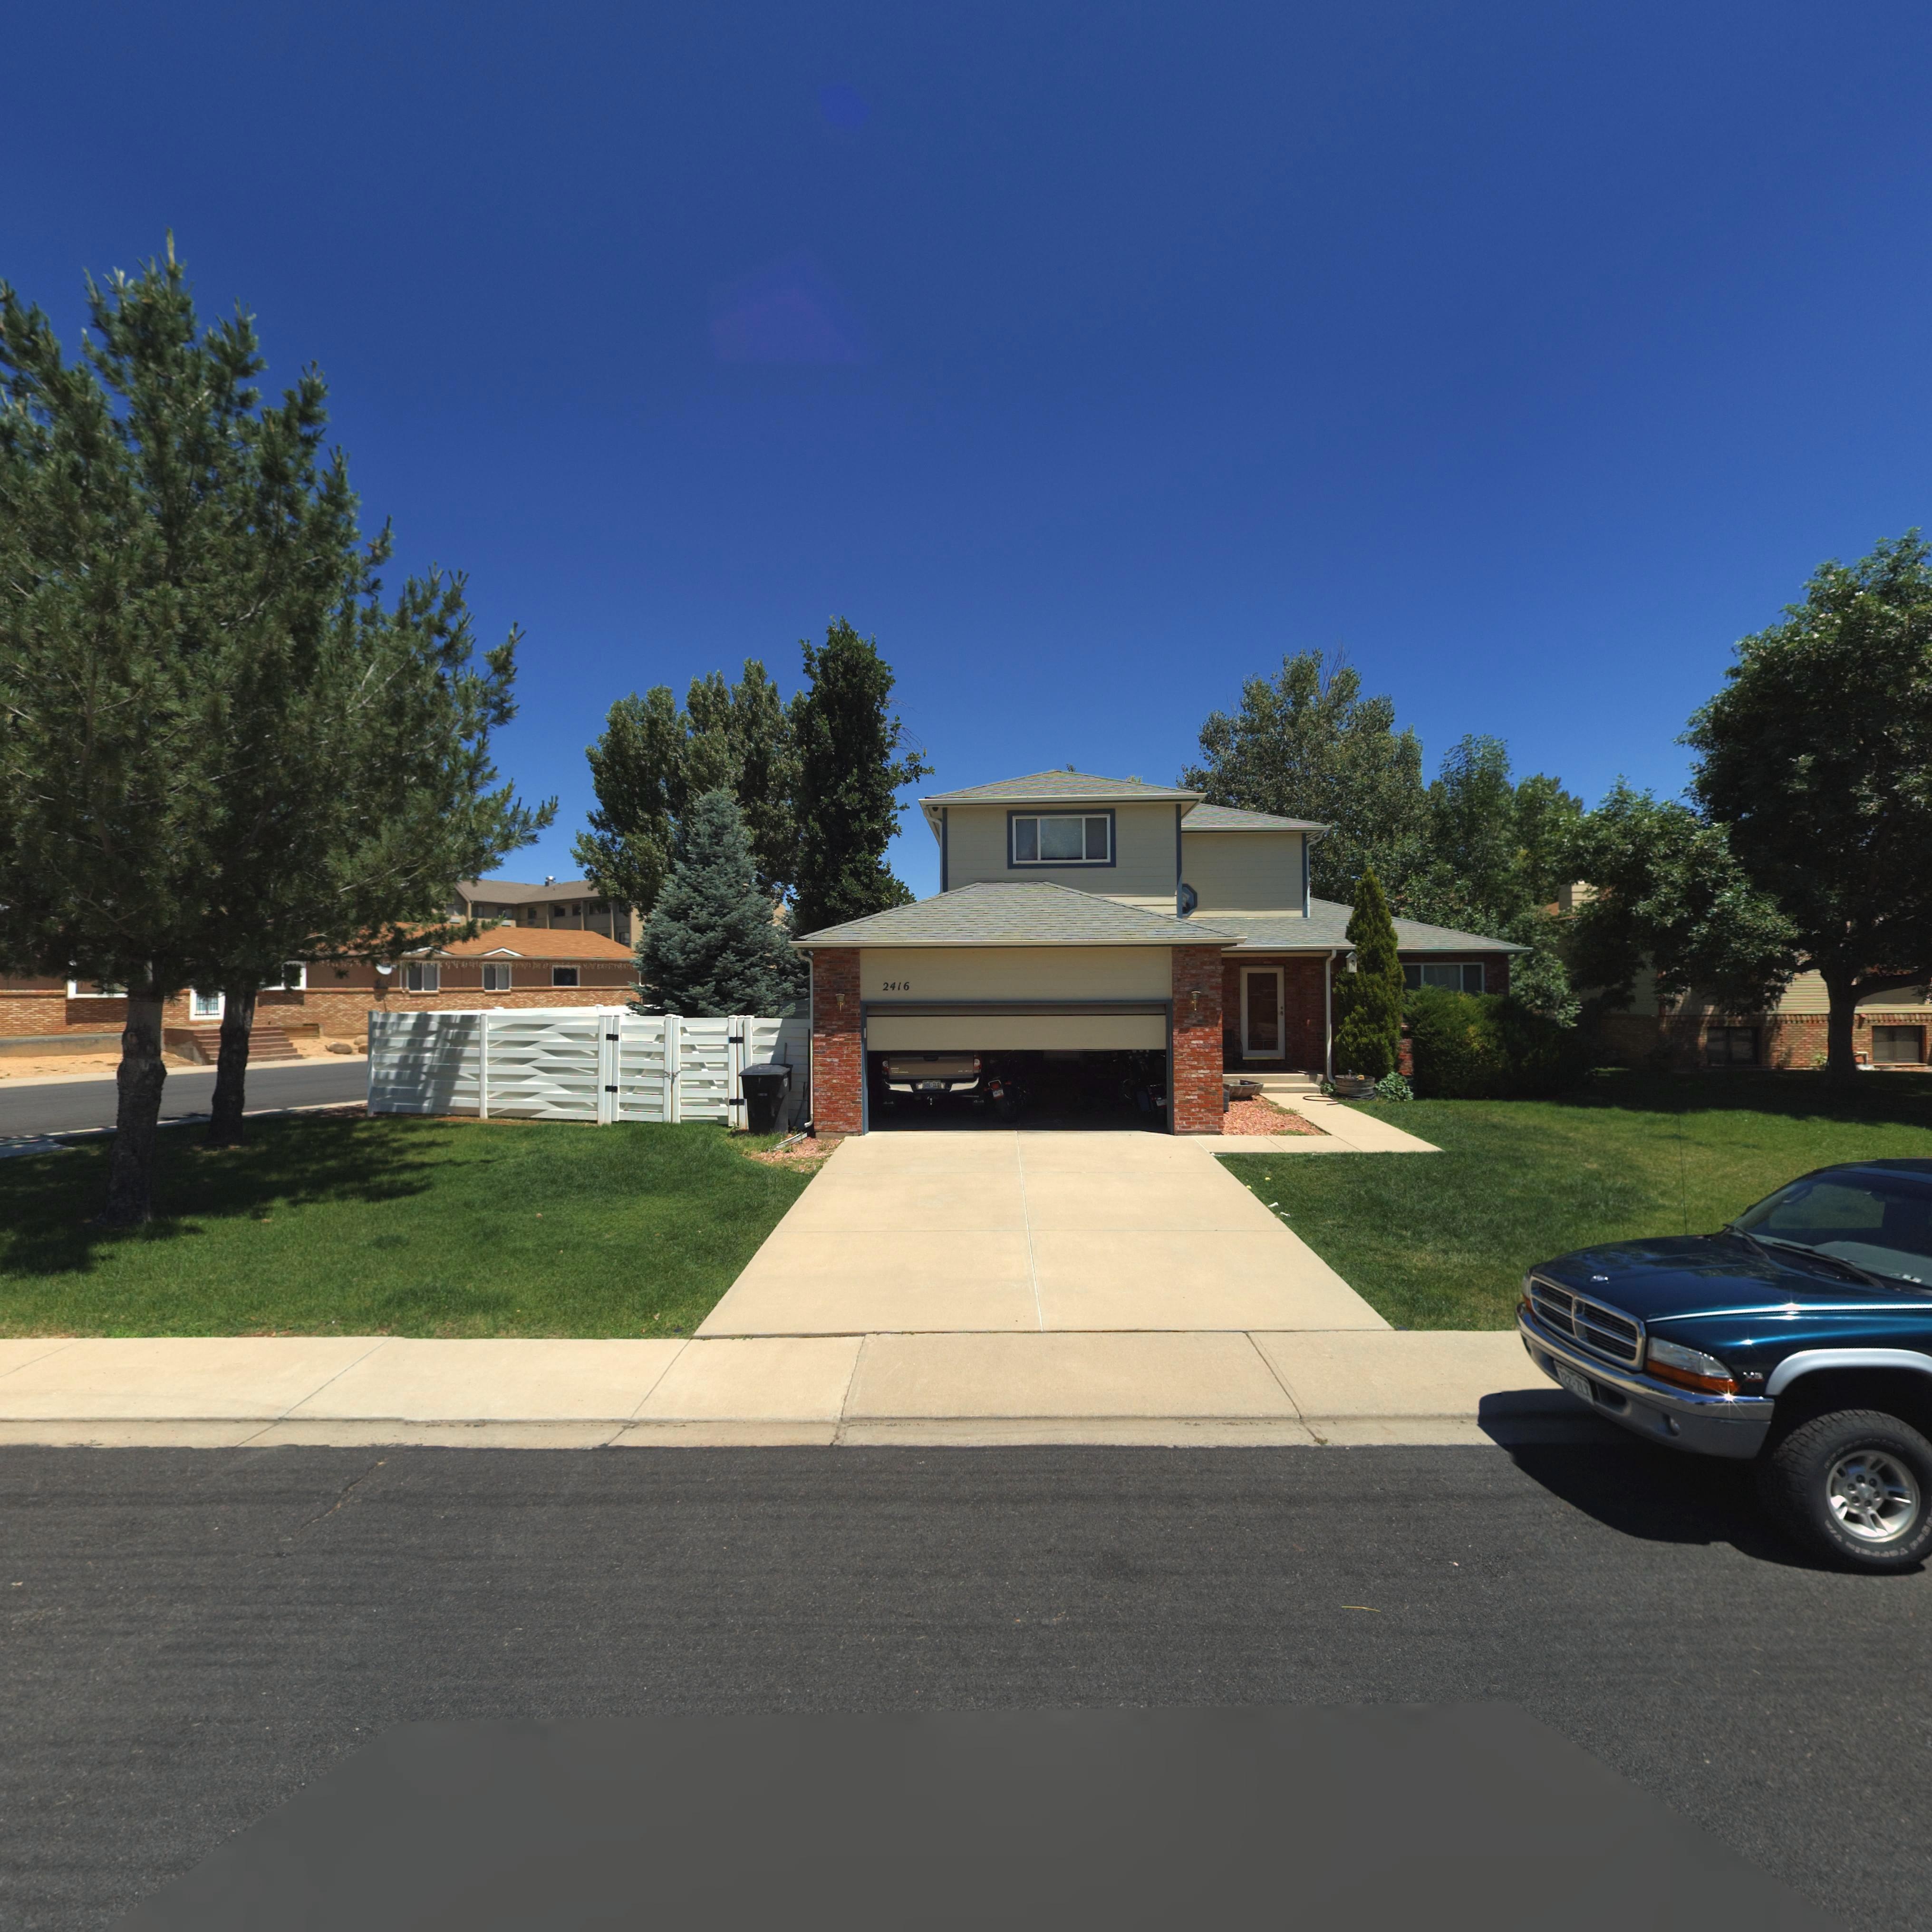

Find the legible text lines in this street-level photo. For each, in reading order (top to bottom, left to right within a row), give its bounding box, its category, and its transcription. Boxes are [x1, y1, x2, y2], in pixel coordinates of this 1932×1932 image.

[882, 982, 909, 990] StreetNumber: 2416